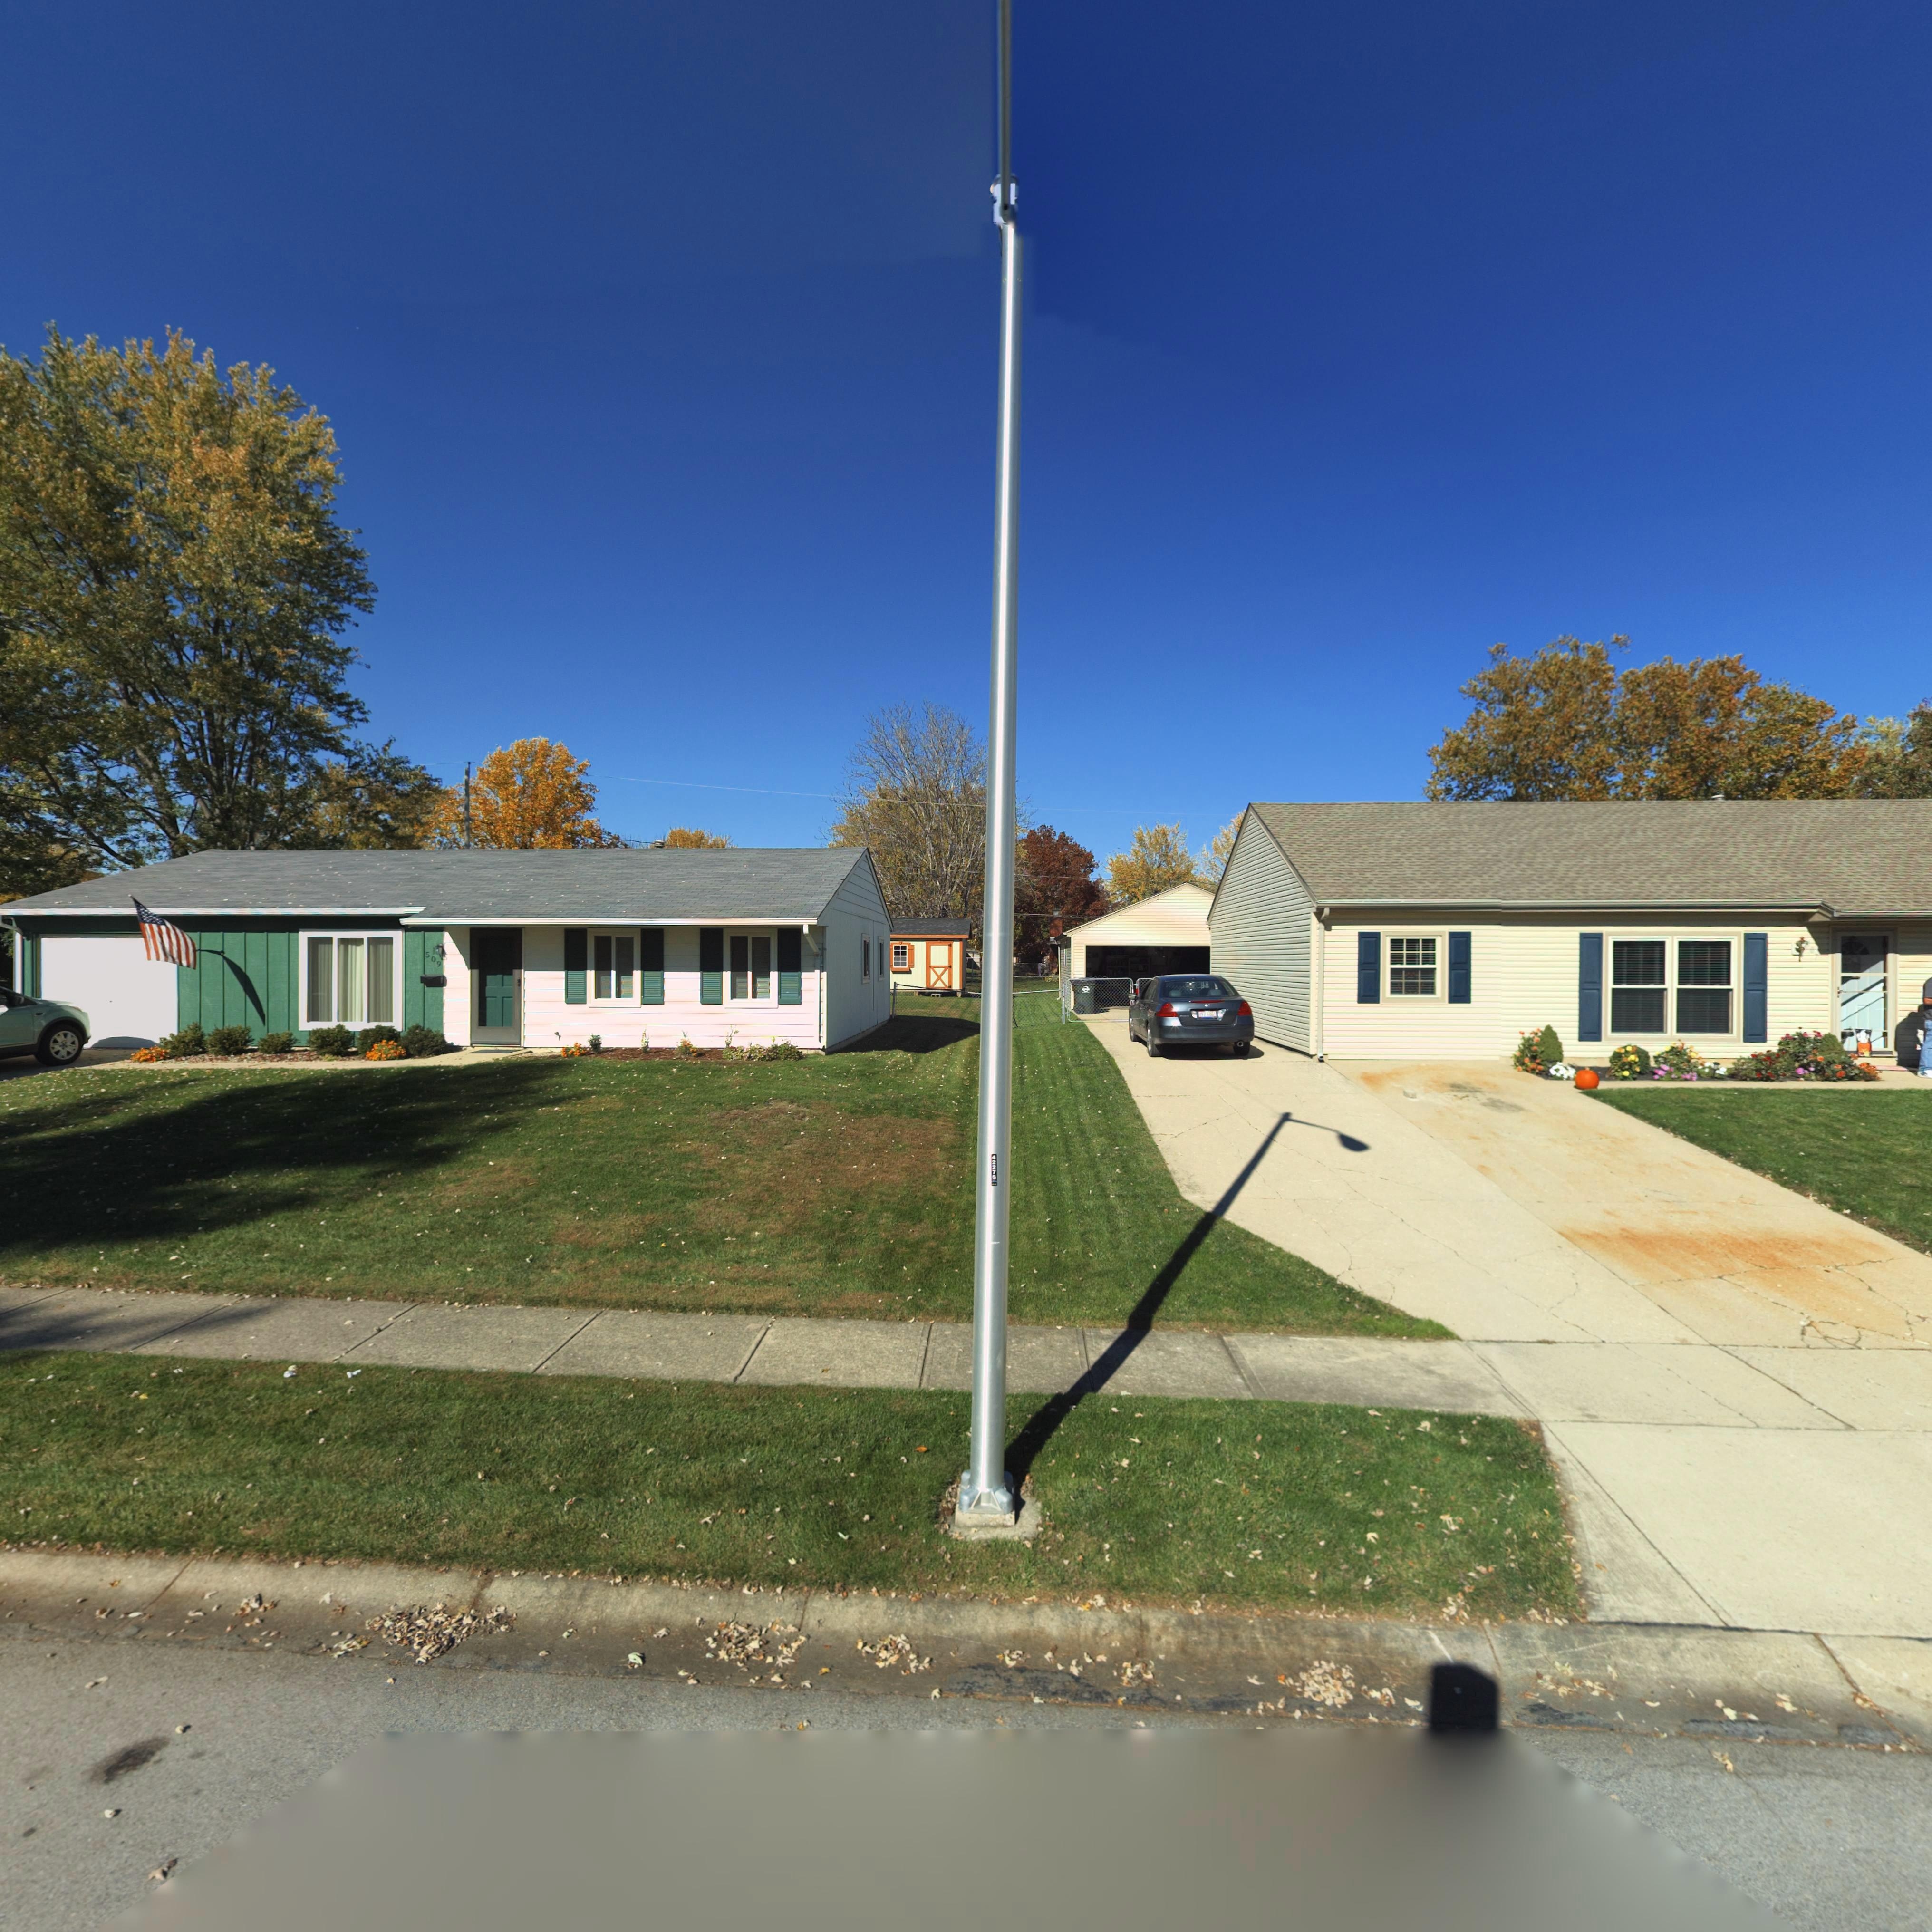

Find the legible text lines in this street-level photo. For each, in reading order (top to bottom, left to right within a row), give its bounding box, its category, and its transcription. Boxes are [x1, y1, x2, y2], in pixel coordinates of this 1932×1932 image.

[1809, 945, 1815, 954] StreetNumber: 0
[425, 951, 442, 968] StreetNumber: 509